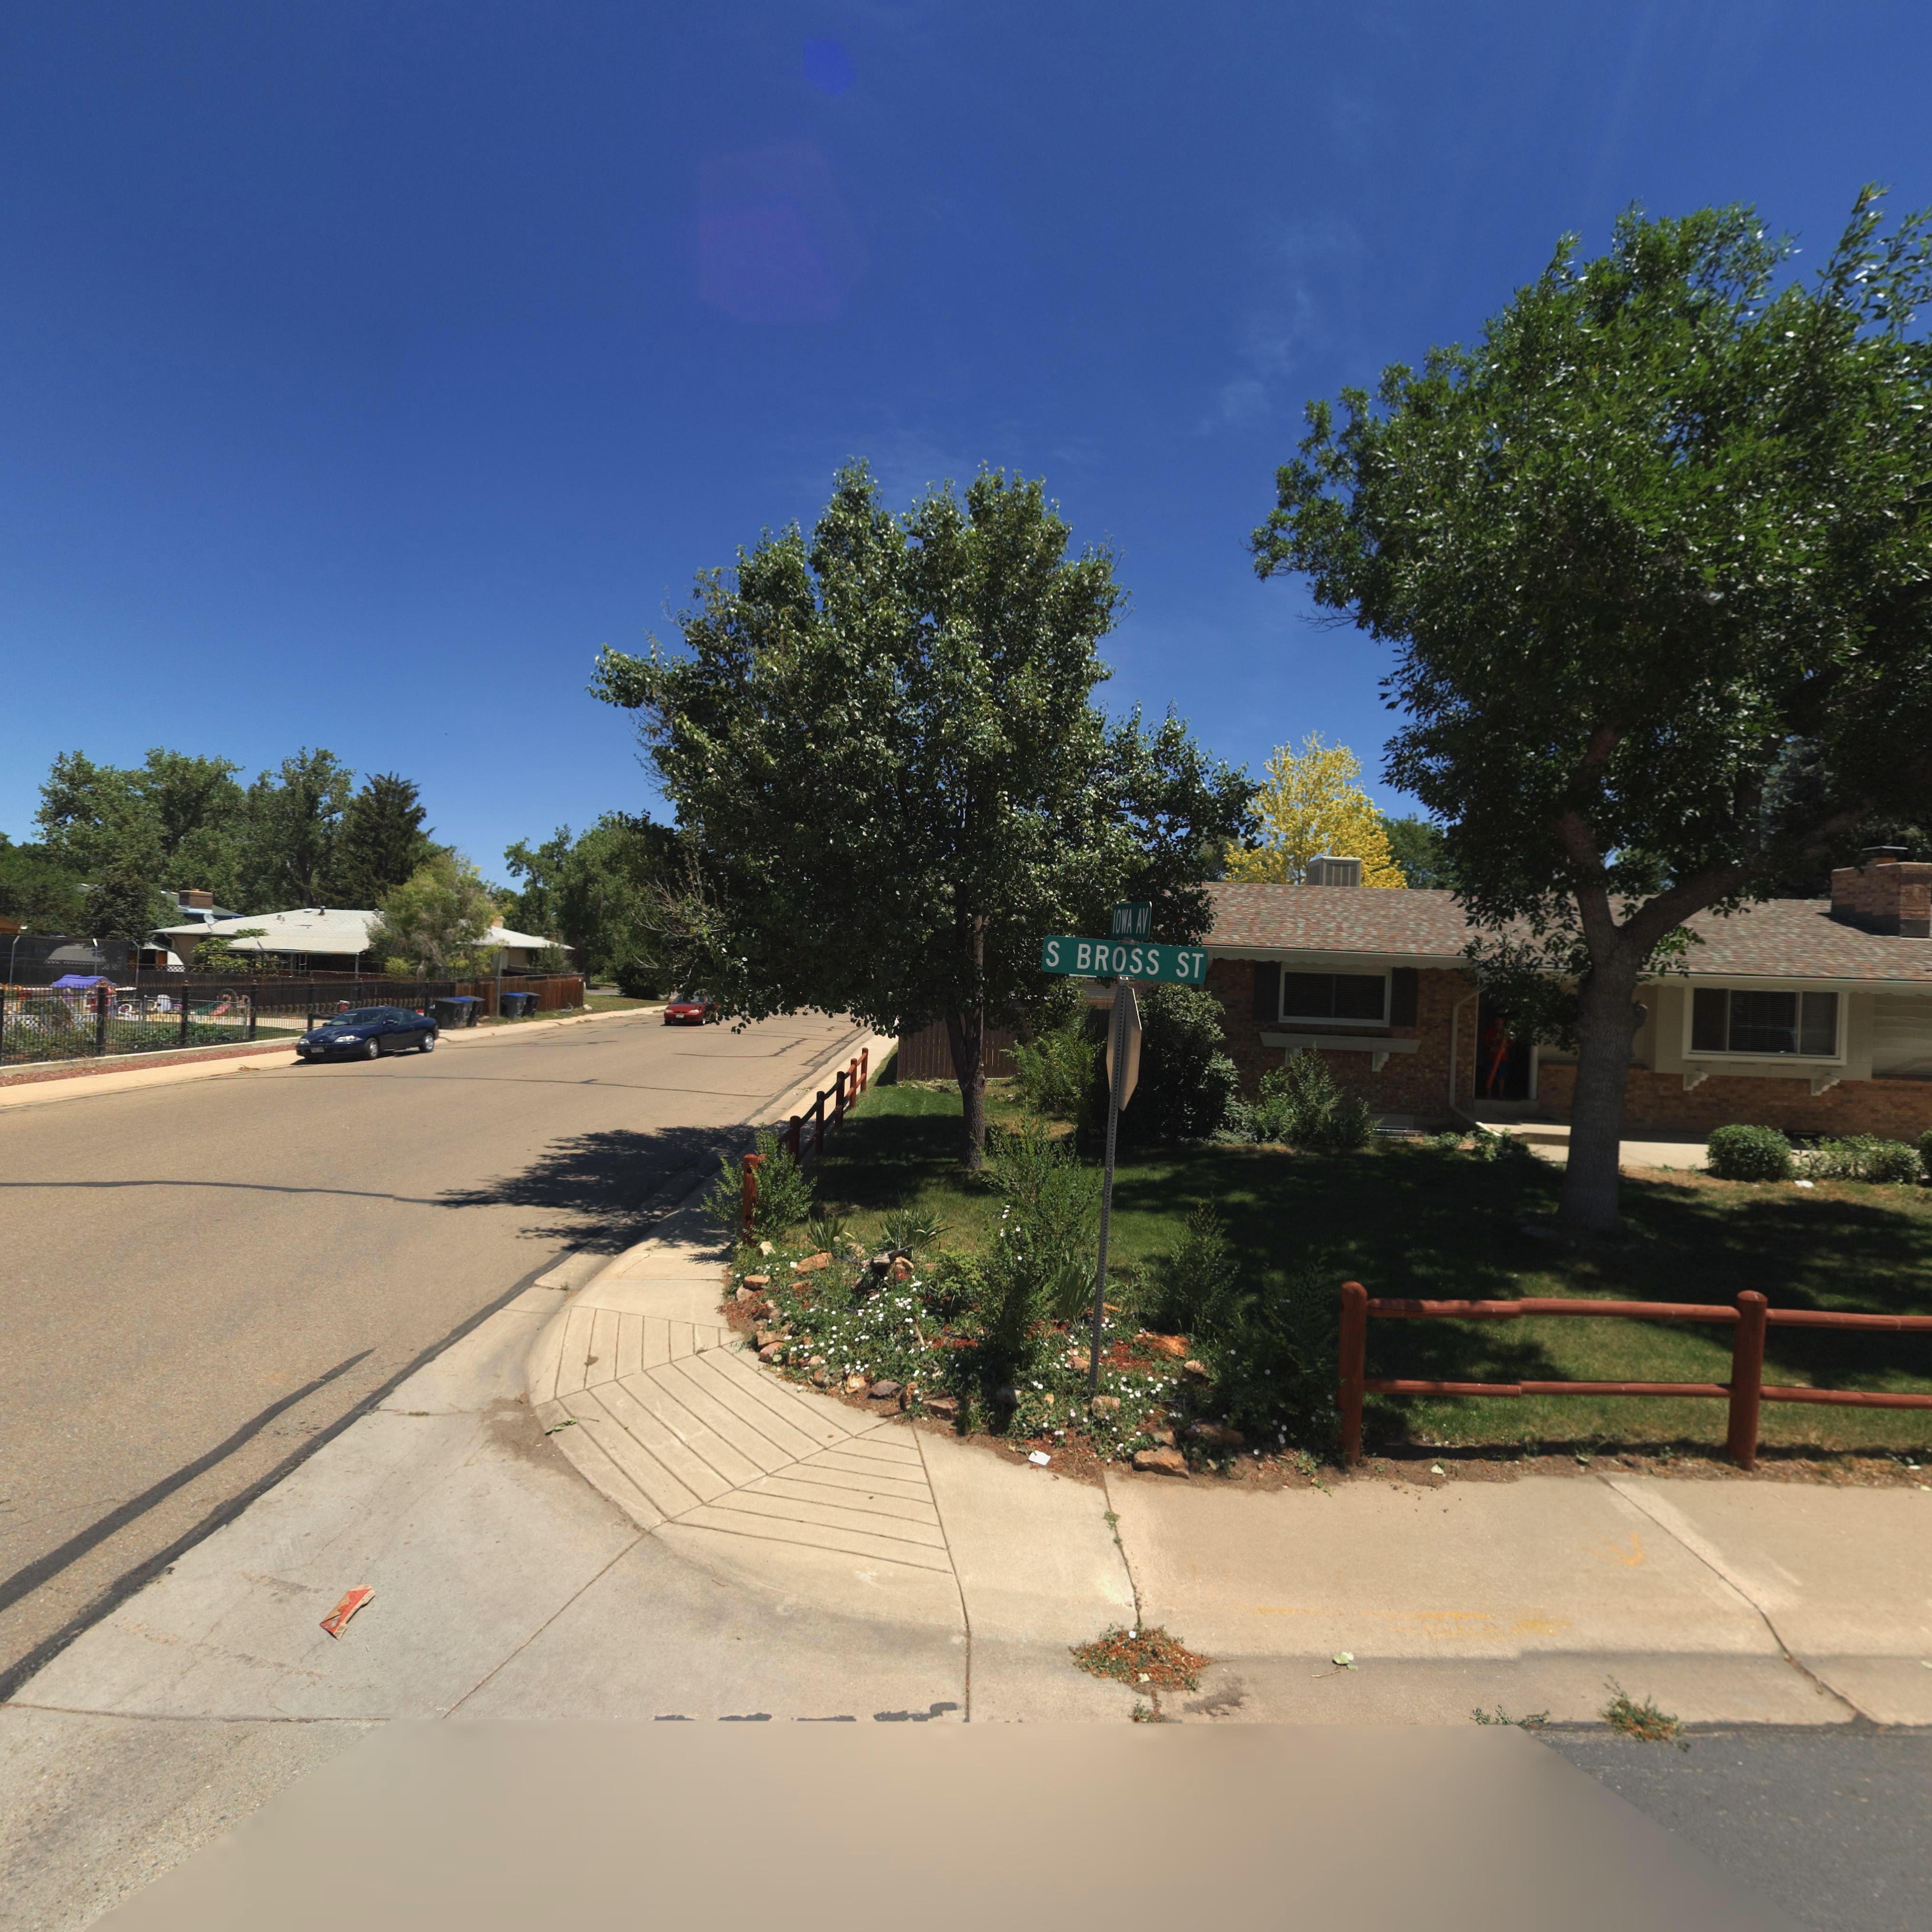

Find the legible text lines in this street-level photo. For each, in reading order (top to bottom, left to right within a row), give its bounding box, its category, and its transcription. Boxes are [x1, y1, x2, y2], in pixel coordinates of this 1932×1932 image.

[1111, 906, 1149, 934] StreetName: IOWA ST
[1045, 939, 1205, 979] StreetName: S BROSS ST